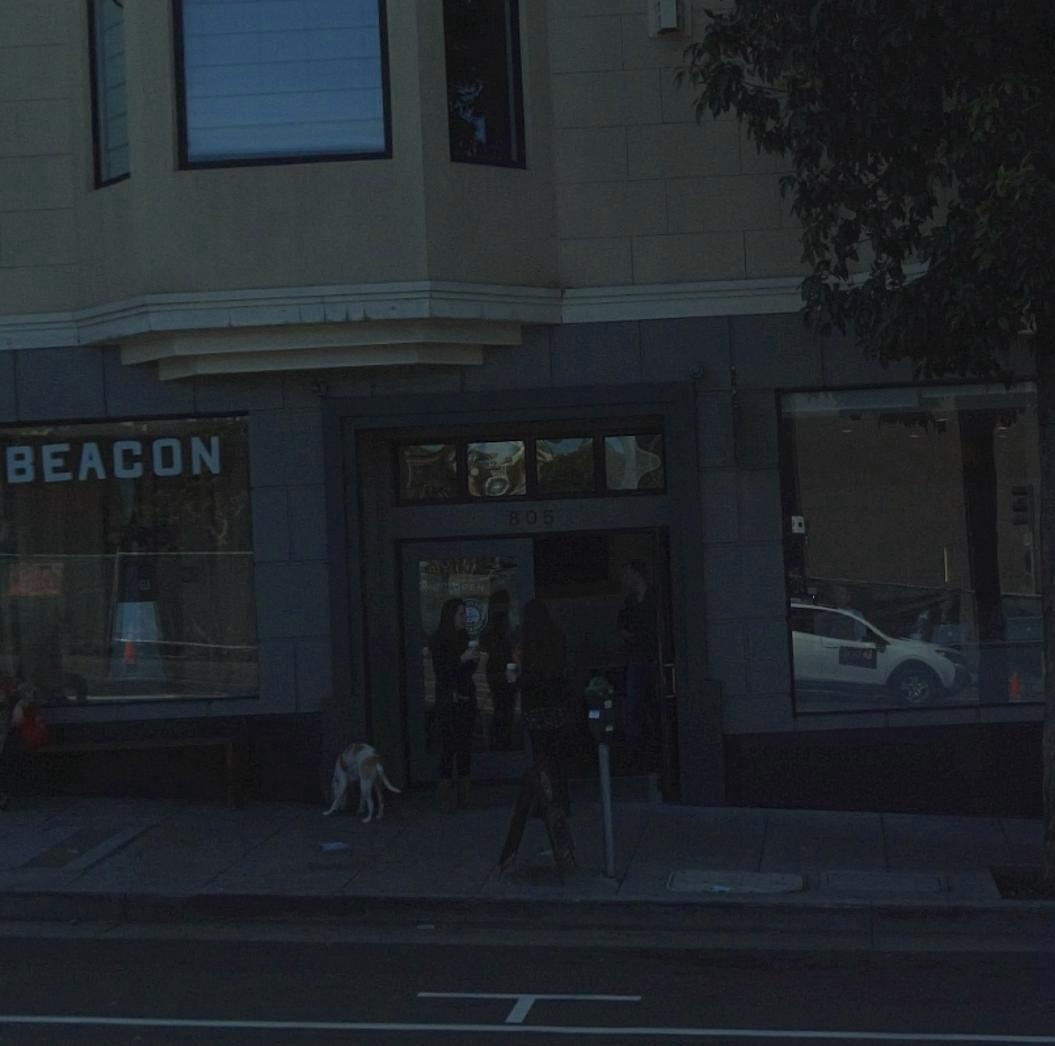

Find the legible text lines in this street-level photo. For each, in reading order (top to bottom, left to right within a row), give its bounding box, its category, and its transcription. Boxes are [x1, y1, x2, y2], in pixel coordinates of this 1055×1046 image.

[6, 433, 223, 486] BusinessName: BEACON
[508, 508, 557, 528] StreetNumber: 805
[450, 581, 486, 594] None: OPEN